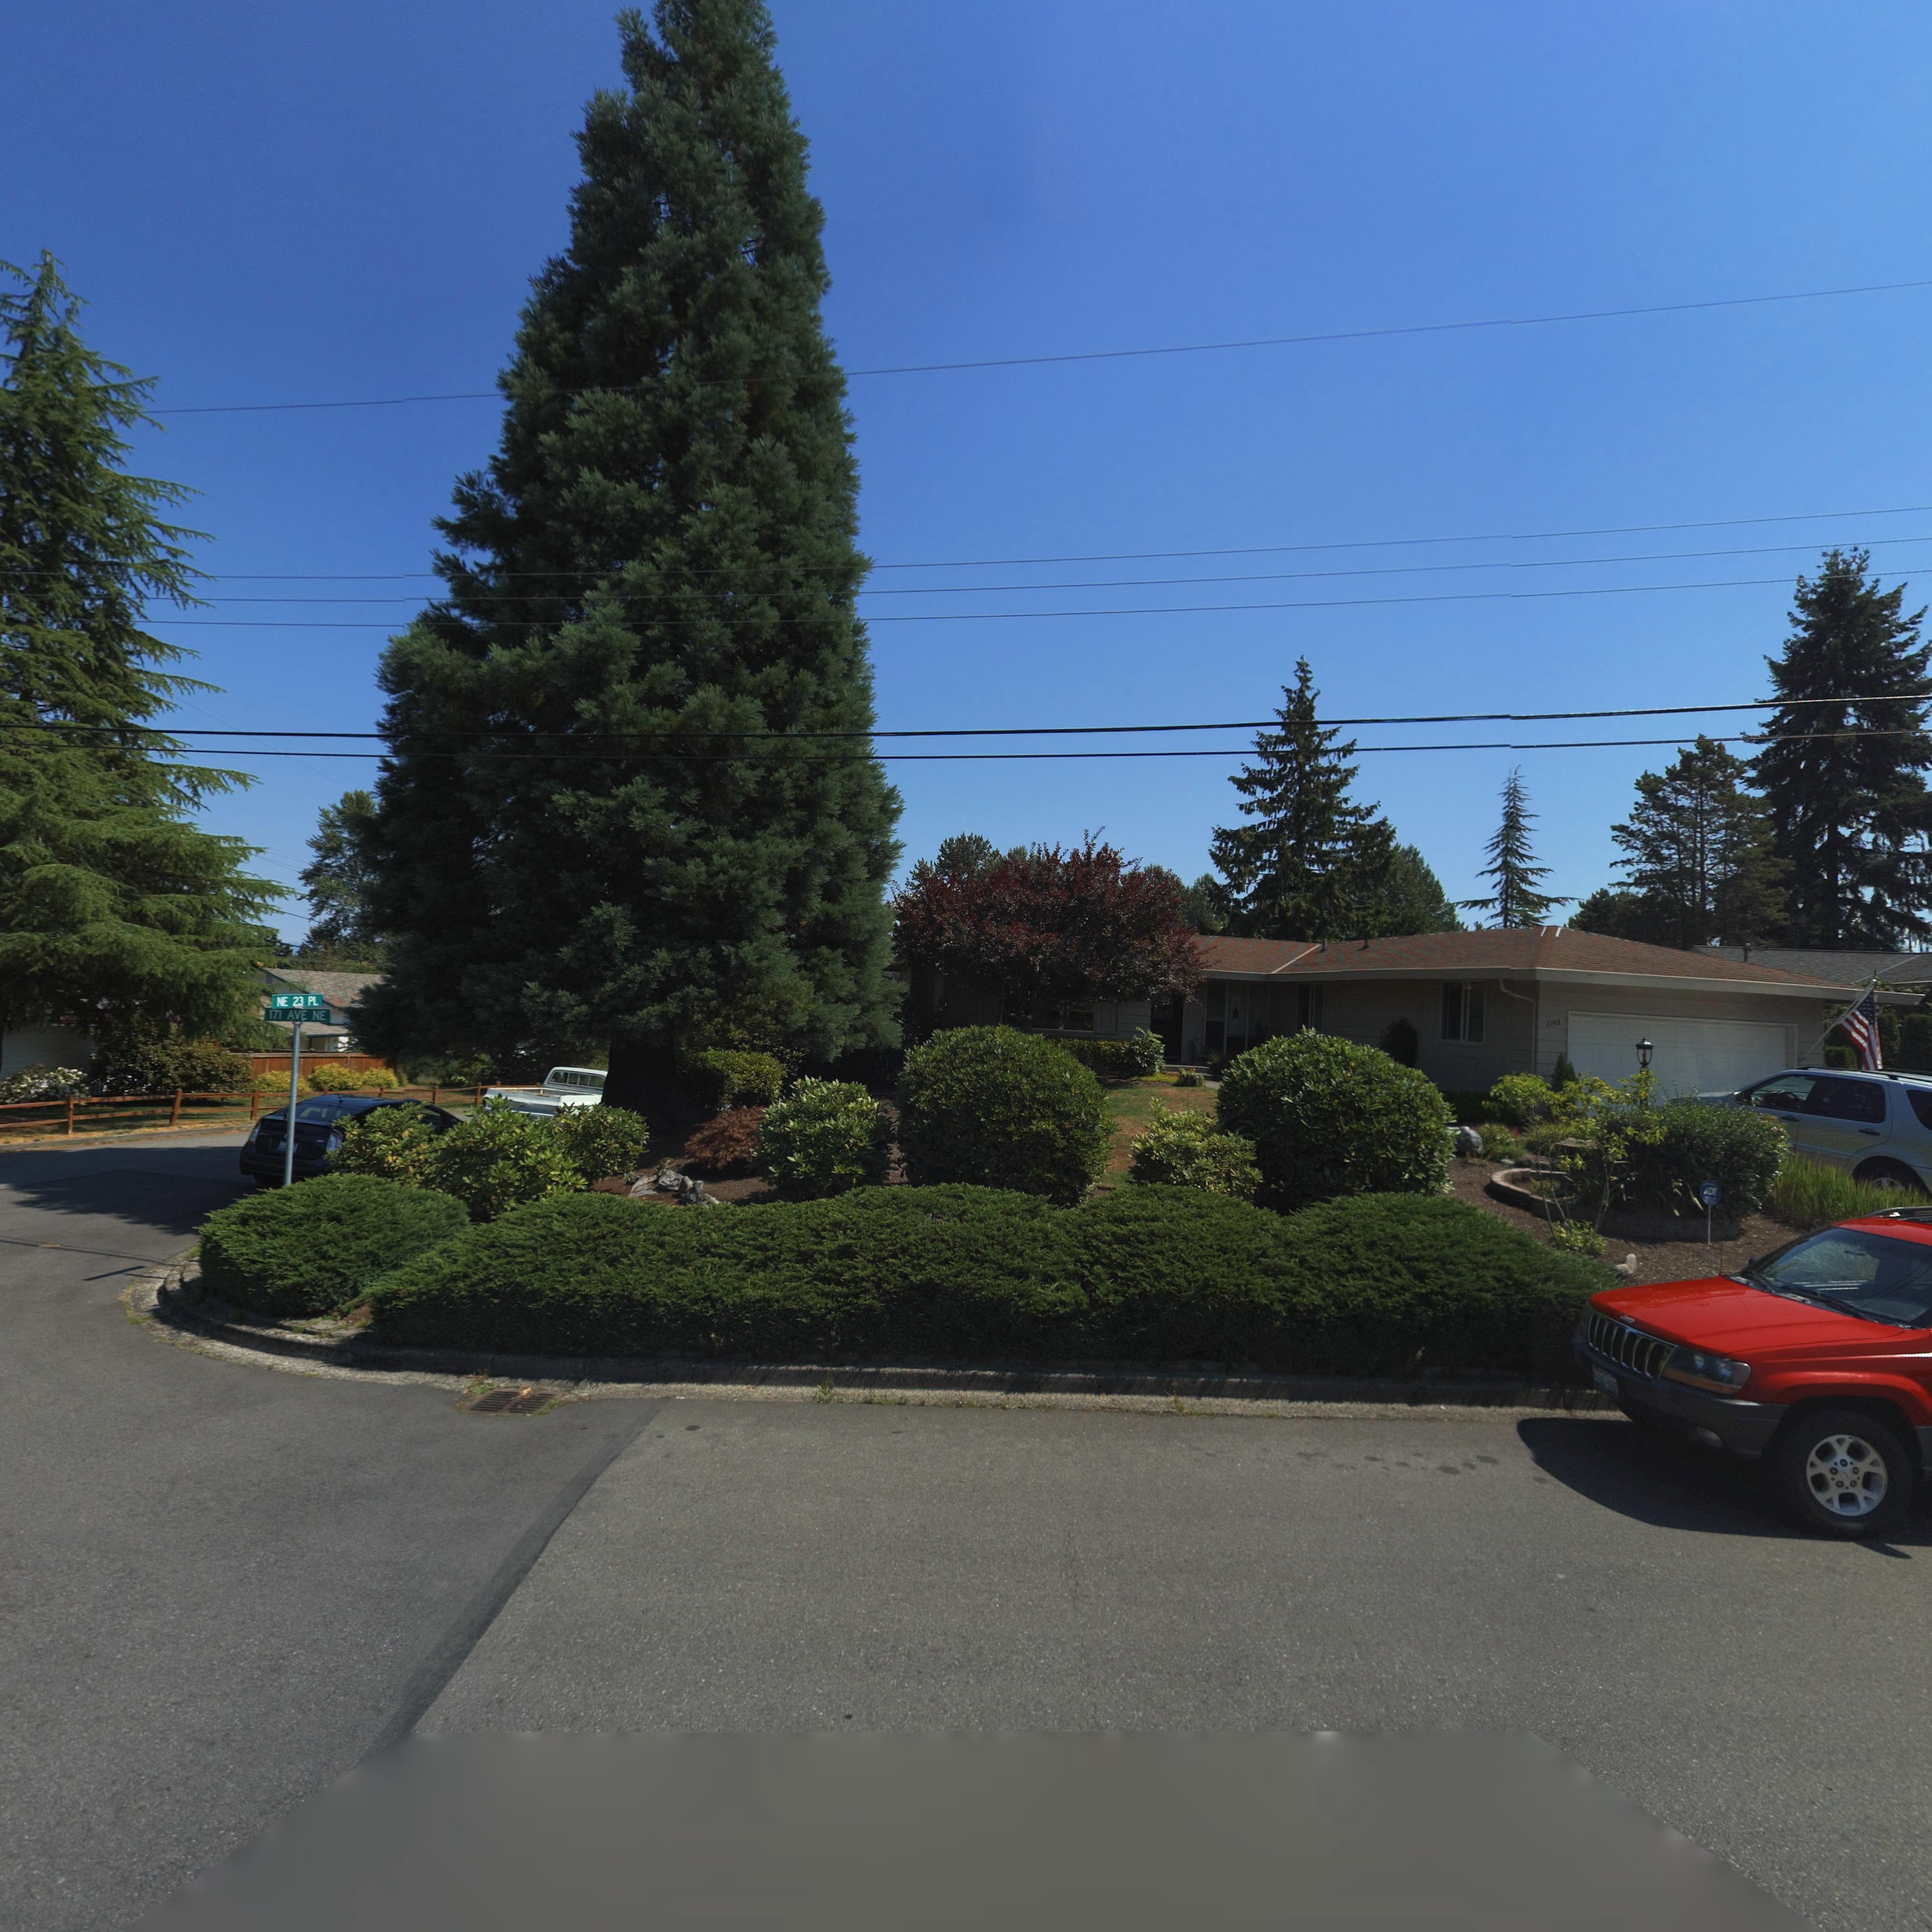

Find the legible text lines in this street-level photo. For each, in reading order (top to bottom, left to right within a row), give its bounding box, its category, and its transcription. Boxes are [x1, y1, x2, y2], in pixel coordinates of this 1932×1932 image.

[276, 995, 319, 1007] StreetName: NE 23 PL
[269, 1008, 326, 1021] StreetName: 171 AVE NE
[1546, 1019, 1561, 1027] StreetNumber: 2248